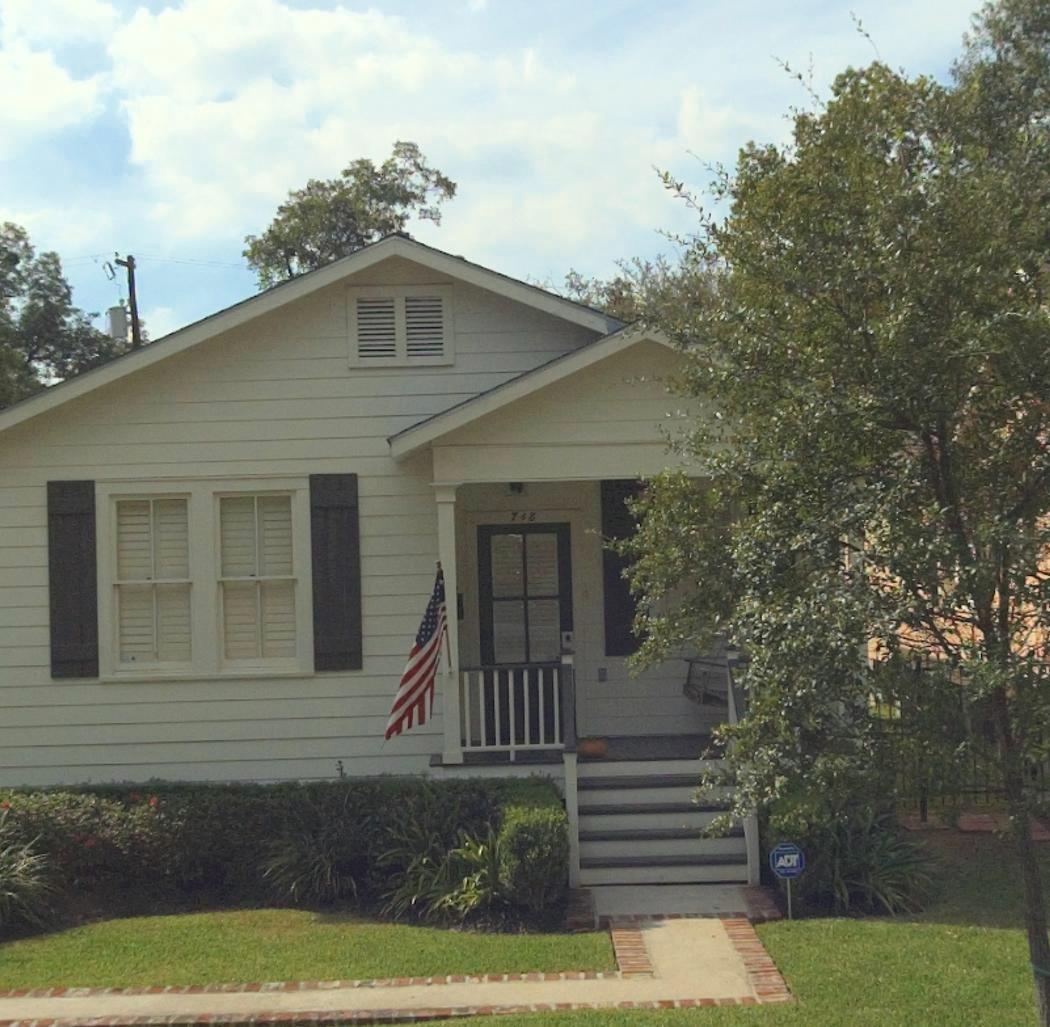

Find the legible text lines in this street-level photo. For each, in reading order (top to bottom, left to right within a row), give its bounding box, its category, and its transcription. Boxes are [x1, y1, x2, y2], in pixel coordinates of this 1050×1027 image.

[508, 510, 538, 524] StreetNumber: 748
[774, 852, 802, 870] None: ADT